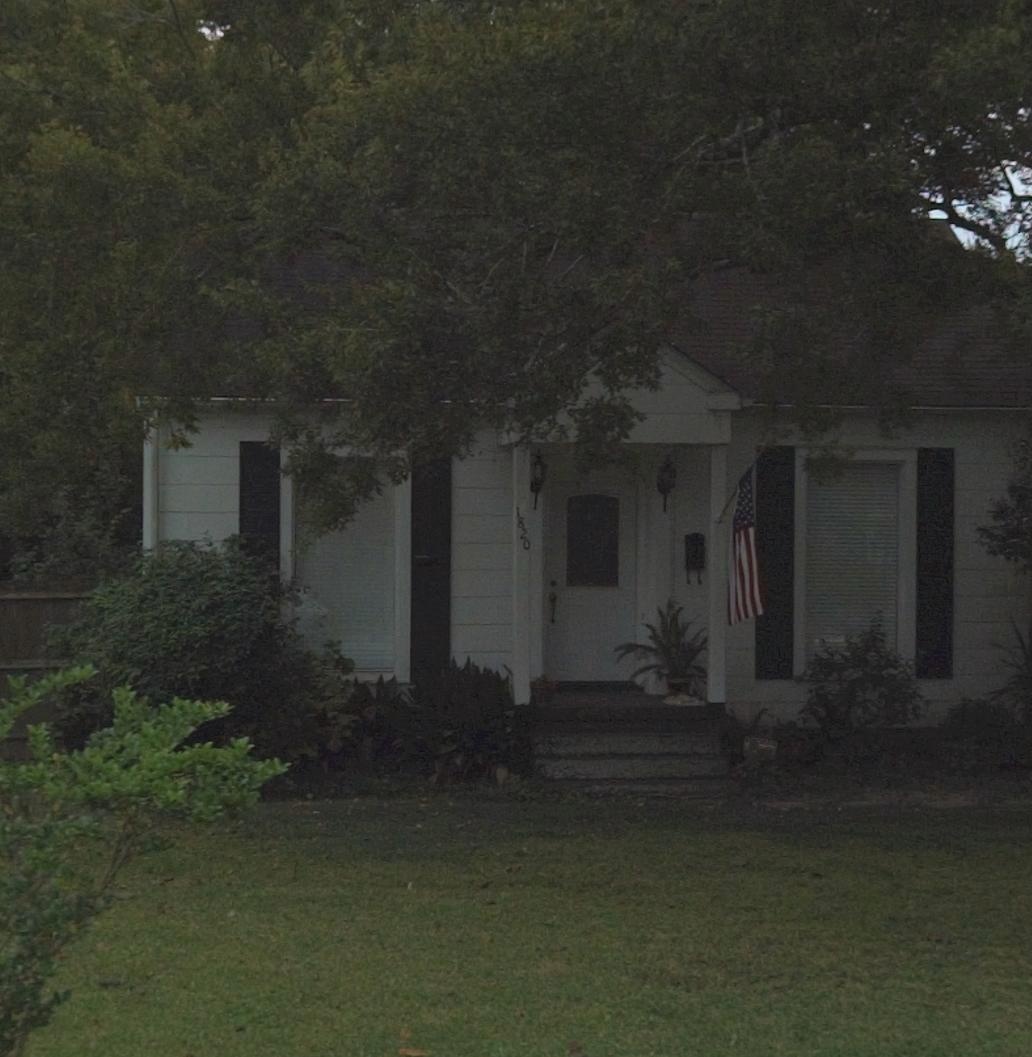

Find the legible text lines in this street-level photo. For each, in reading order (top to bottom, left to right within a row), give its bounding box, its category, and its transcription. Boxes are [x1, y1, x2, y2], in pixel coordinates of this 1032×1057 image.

[515, 506, 532, 551] StreetNumber: 1820